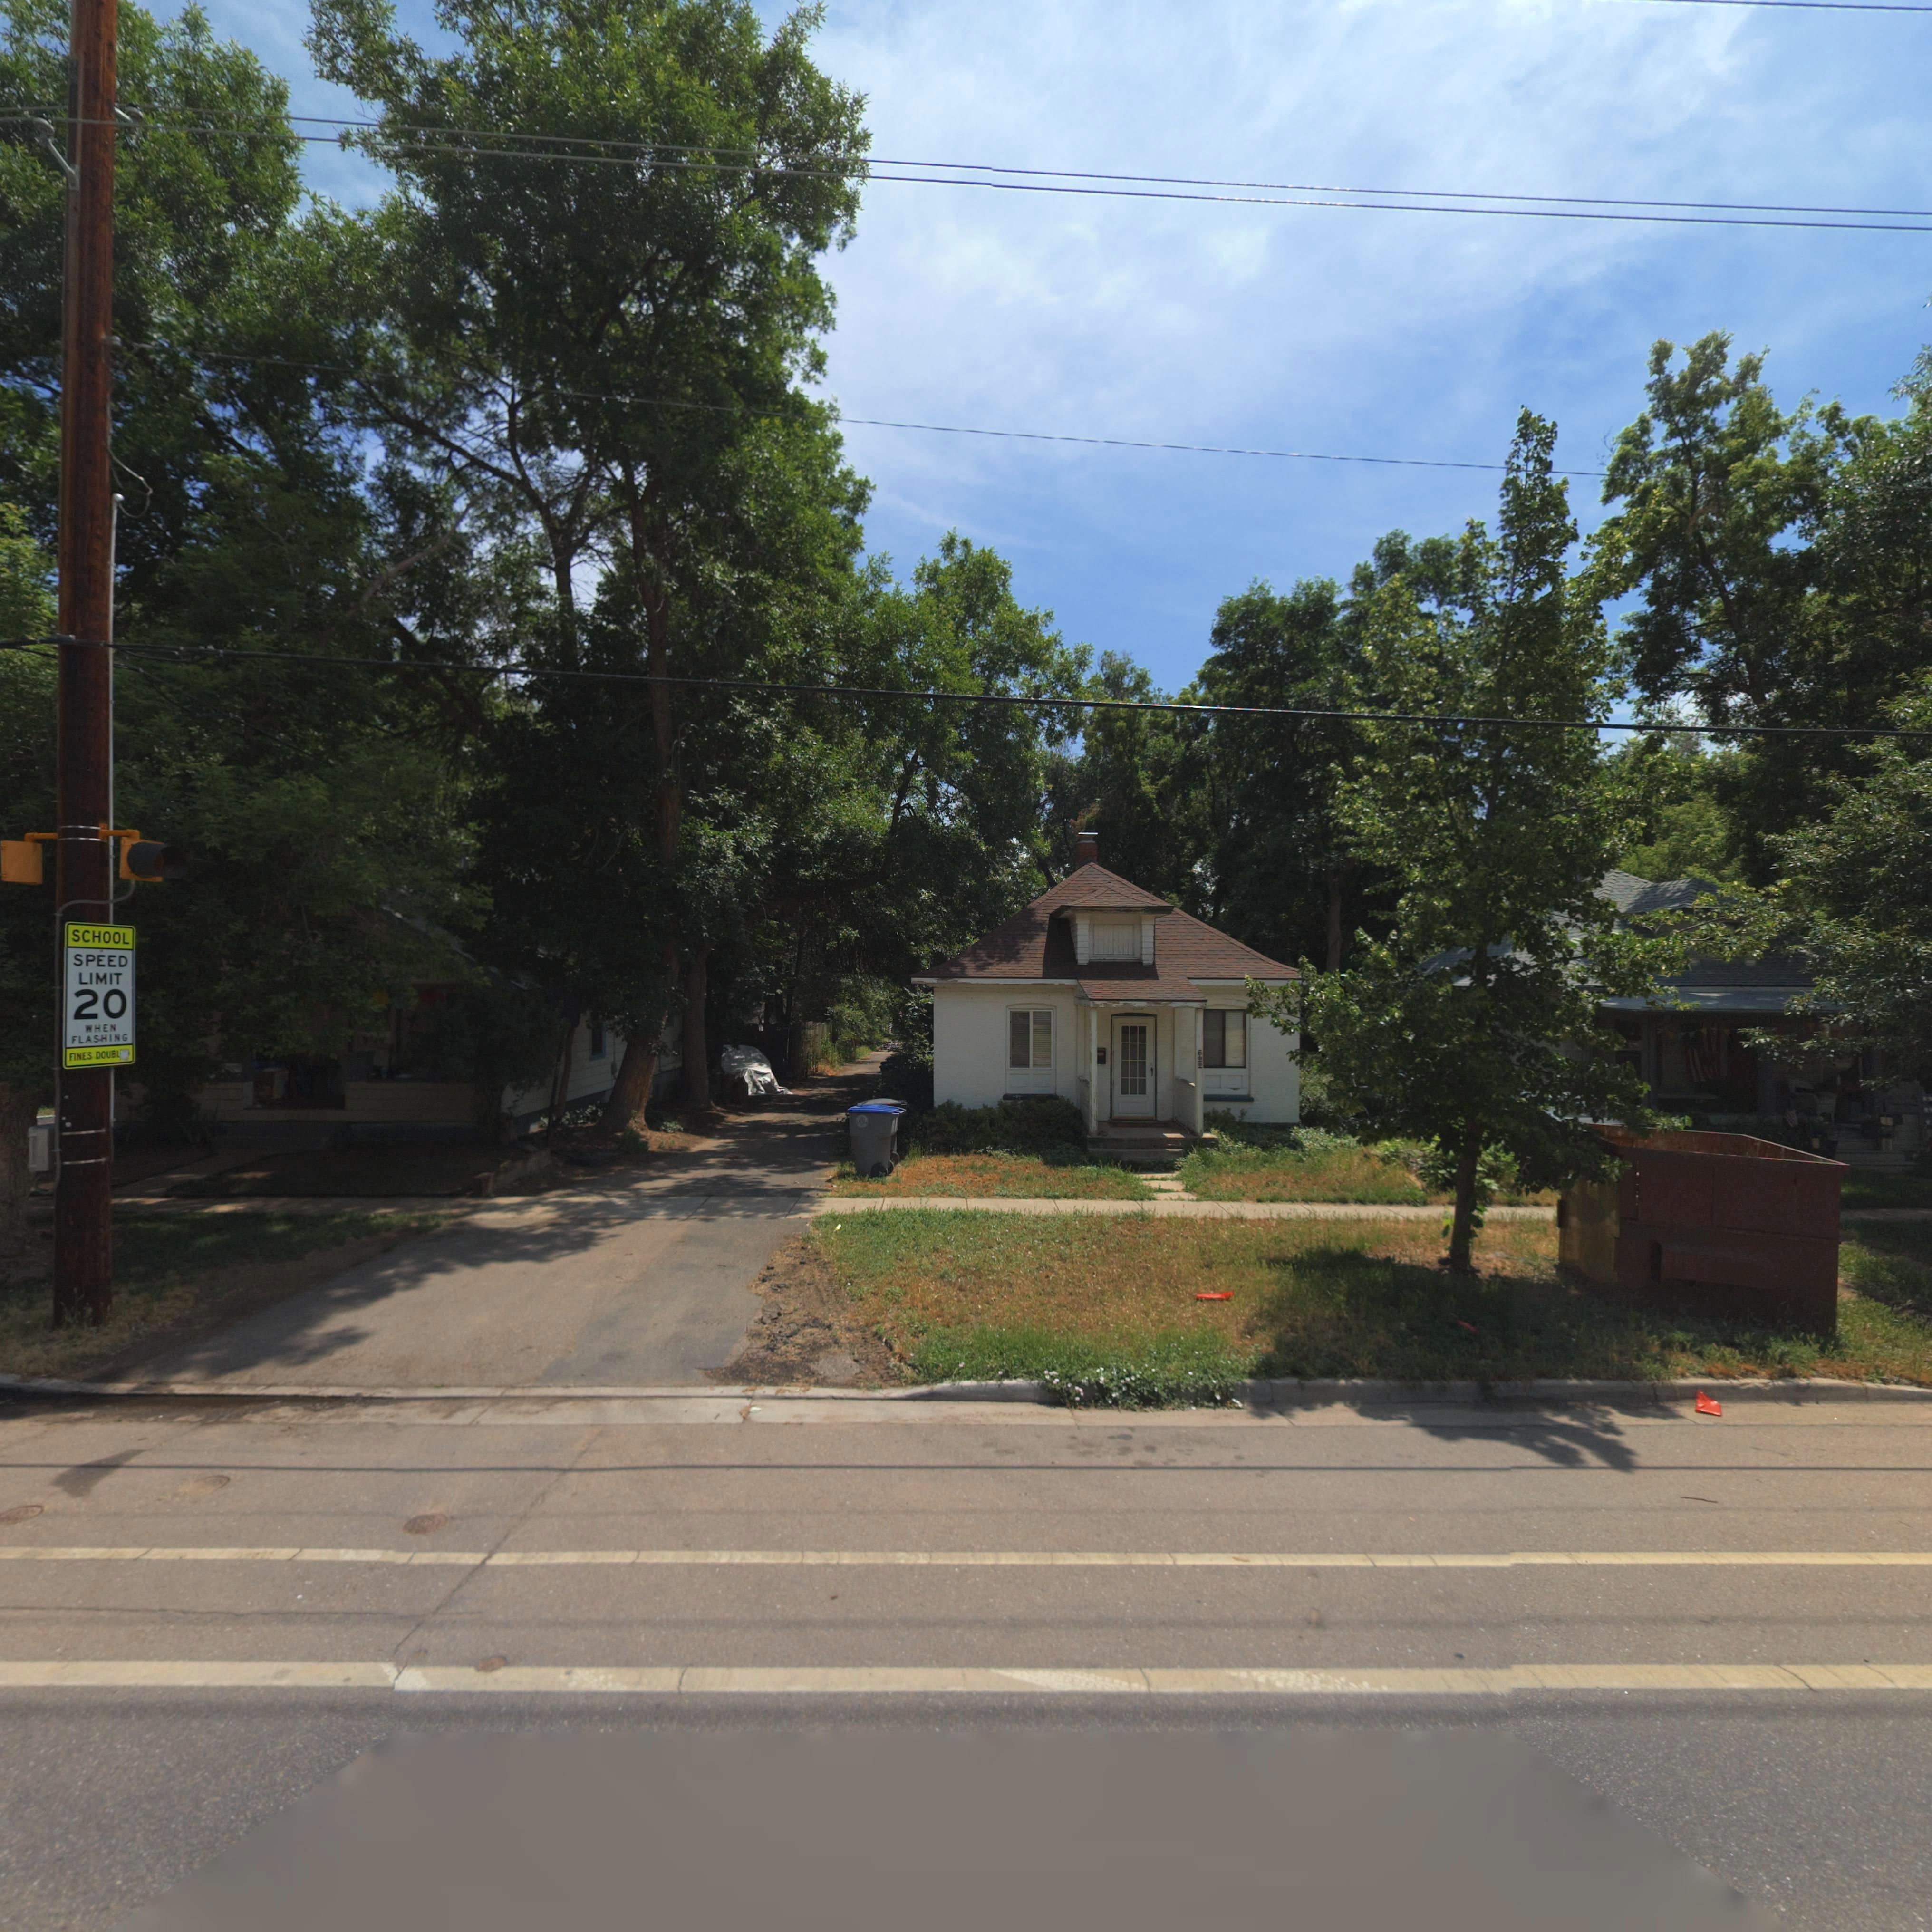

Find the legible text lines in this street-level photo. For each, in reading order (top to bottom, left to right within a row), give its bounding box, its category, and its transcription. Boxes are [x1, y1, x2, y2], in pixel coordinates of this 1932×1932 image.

[1197, 1049, 1203, 1068] StreetNumber: 622